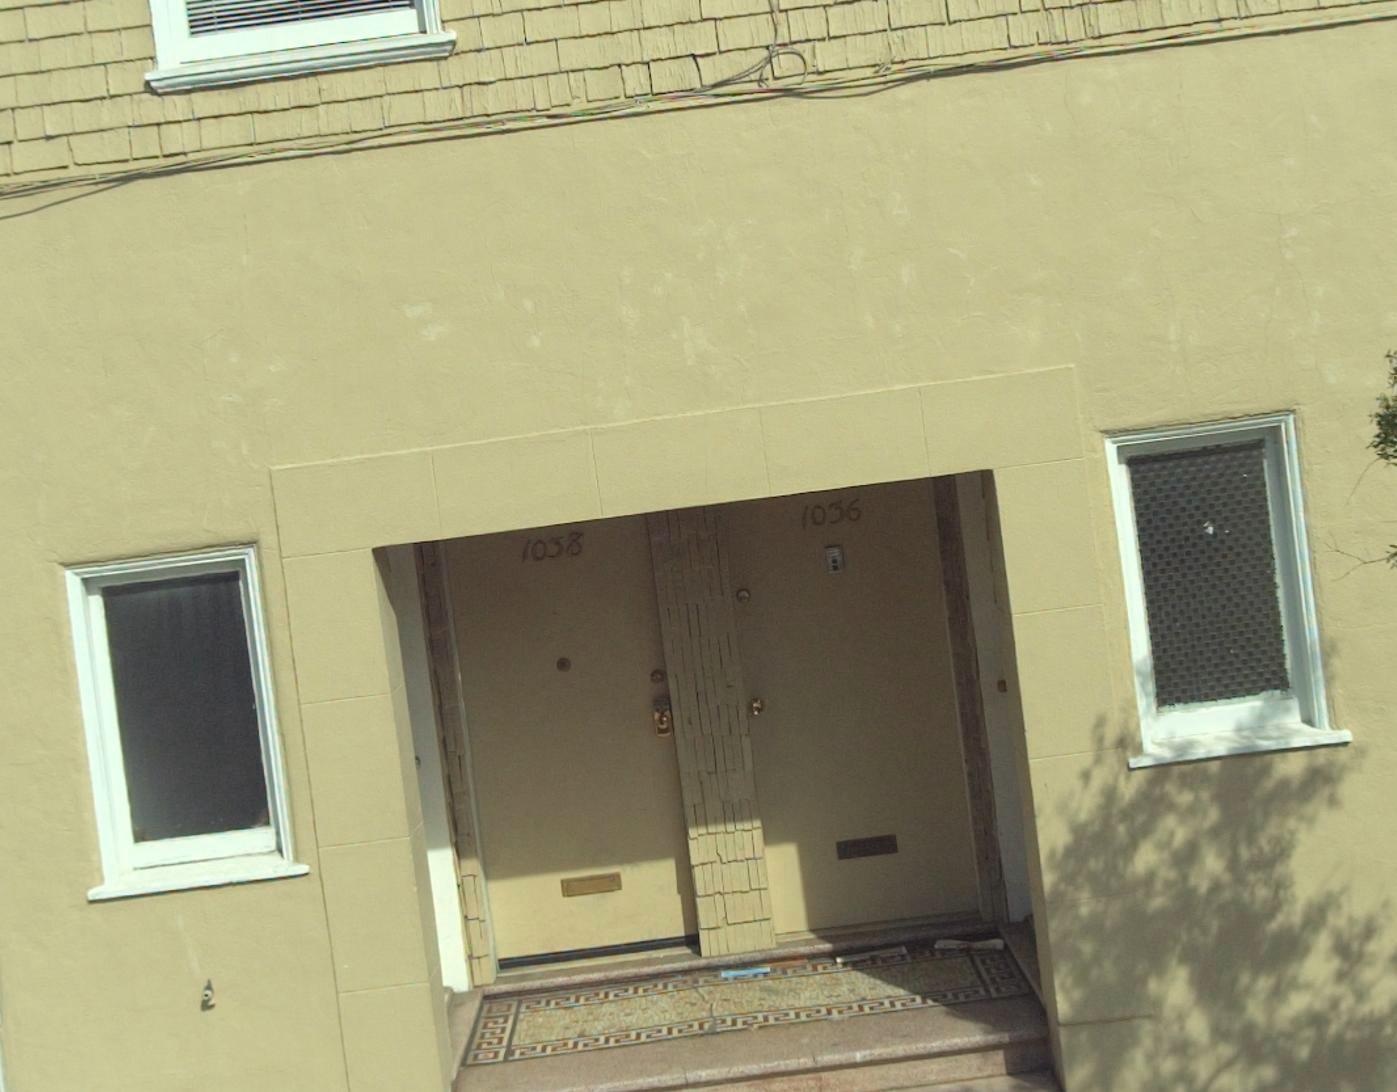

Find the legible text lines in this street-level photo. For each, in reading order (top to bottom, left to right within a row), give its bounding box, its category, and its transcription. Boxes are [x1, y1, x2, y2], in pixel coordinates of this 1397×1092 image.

[801, 495, 864, 532] StreetNumber: 1036
[518, 530, 586, 565] StreetNumber: 1038